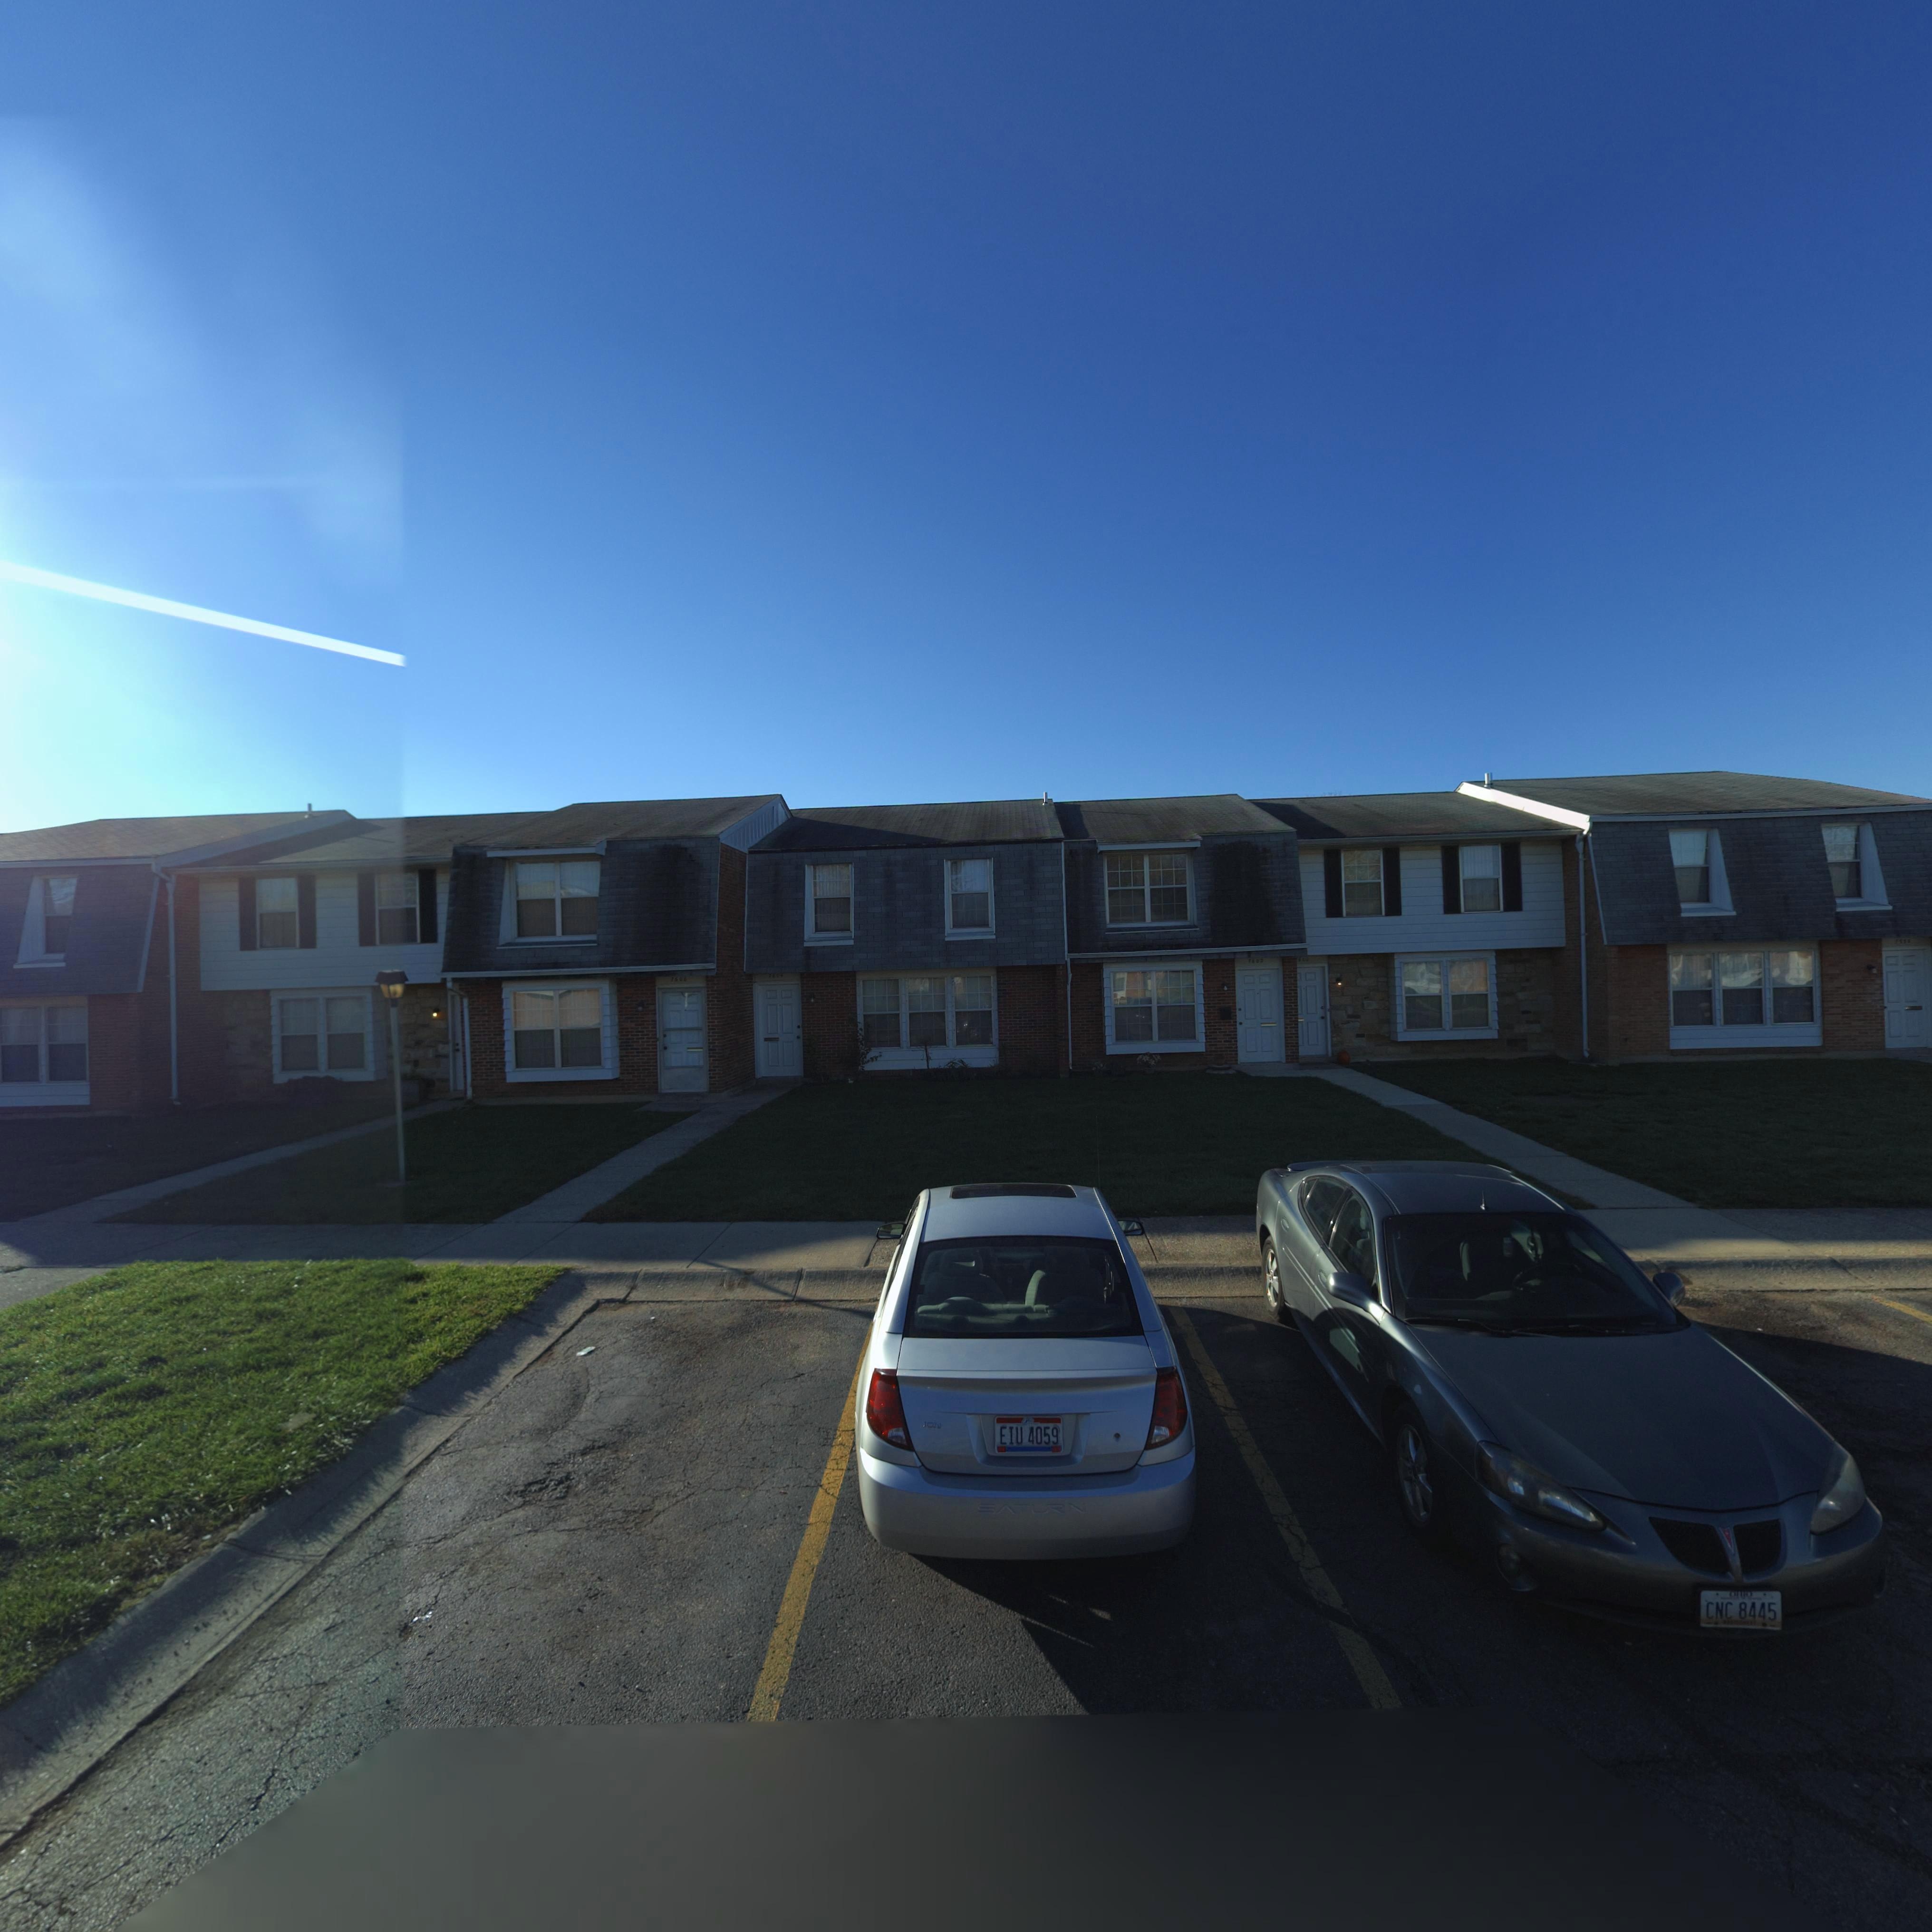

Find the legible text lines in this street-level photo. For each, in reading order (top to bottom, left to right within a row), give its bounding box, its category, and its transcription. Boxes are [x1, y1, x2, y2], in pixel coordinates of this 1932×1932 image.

[1894, 938, 1911, 945] StreetNumber: 75*8
[1247, 958, 1264, 964] StreetNumber: 7602
[1298, 956, 1309, 962] StreetNumber: 600
[768, 973, 785, 978] StreetNumber: 7604
[670, 976, 687, 983] StreetNumber: 7606